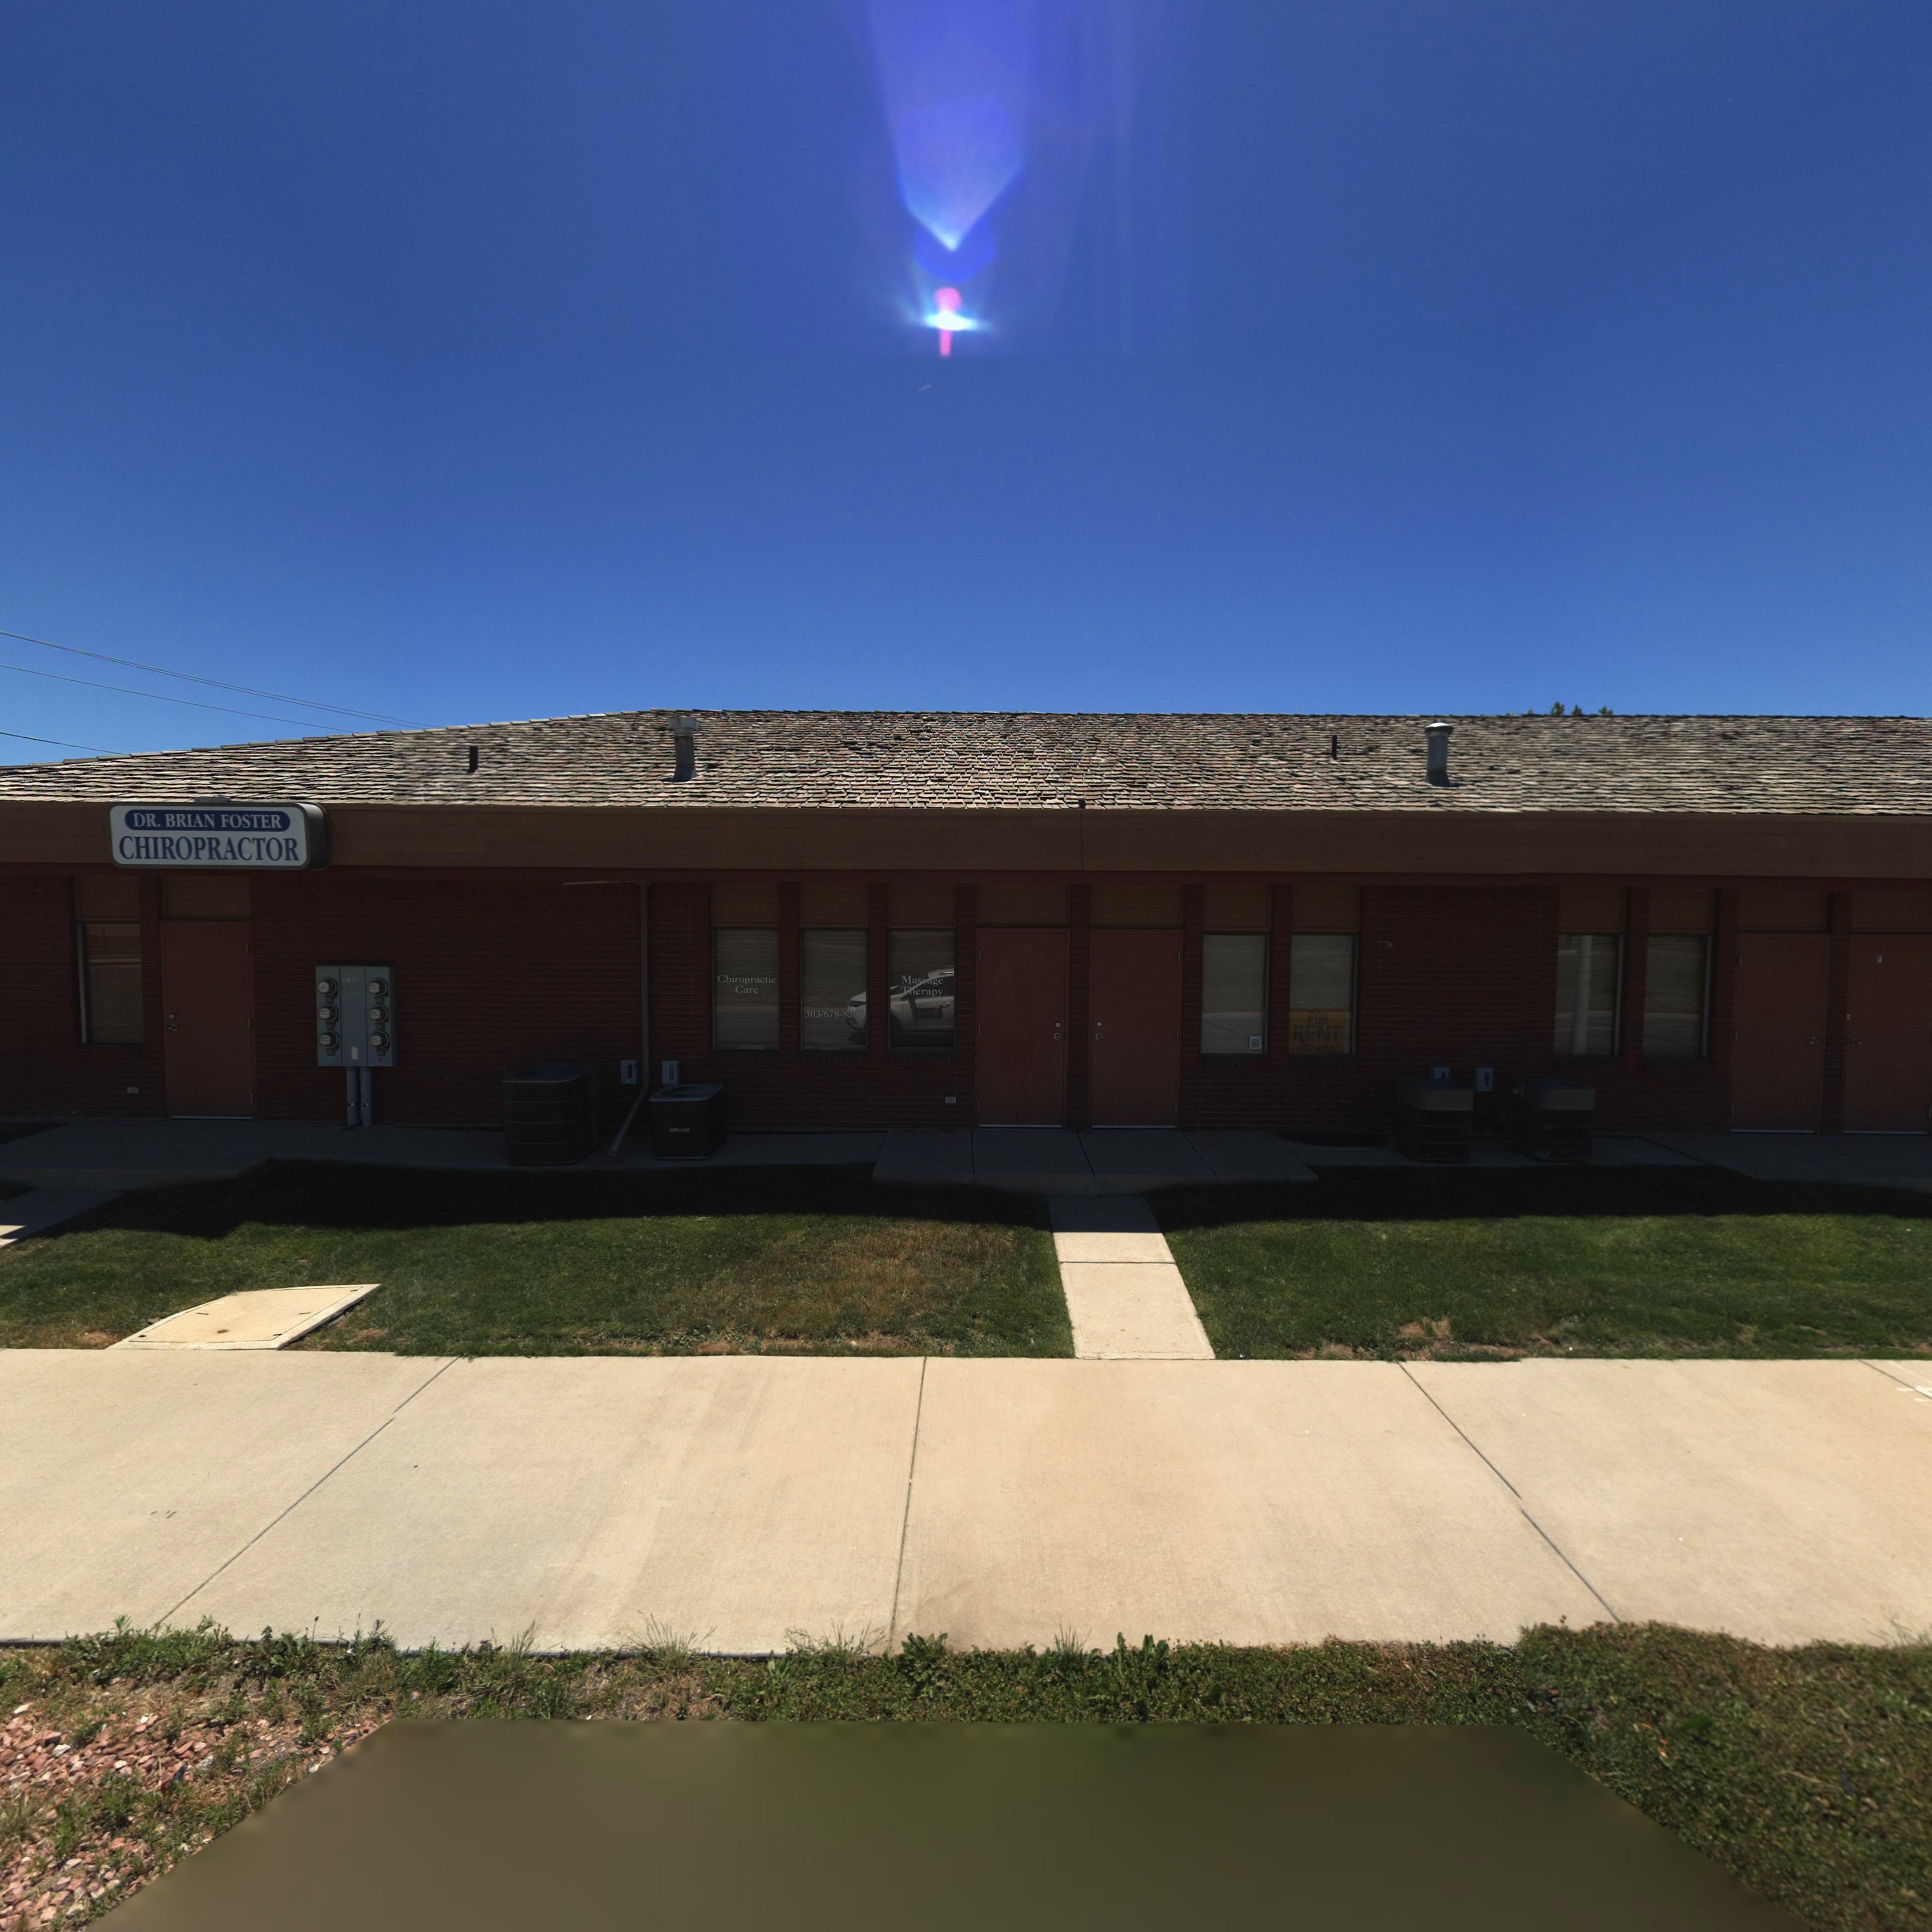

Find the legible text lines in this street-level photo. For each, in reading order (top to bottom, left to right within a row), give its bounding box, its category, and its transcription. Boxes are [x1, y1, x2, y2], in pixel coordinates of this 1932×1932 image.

[132, 811, 284, 829] BusinessName: DR. BRIAN FOSTER
[118, 835, 301, 861] BusinessName: CHIROPRACTOR